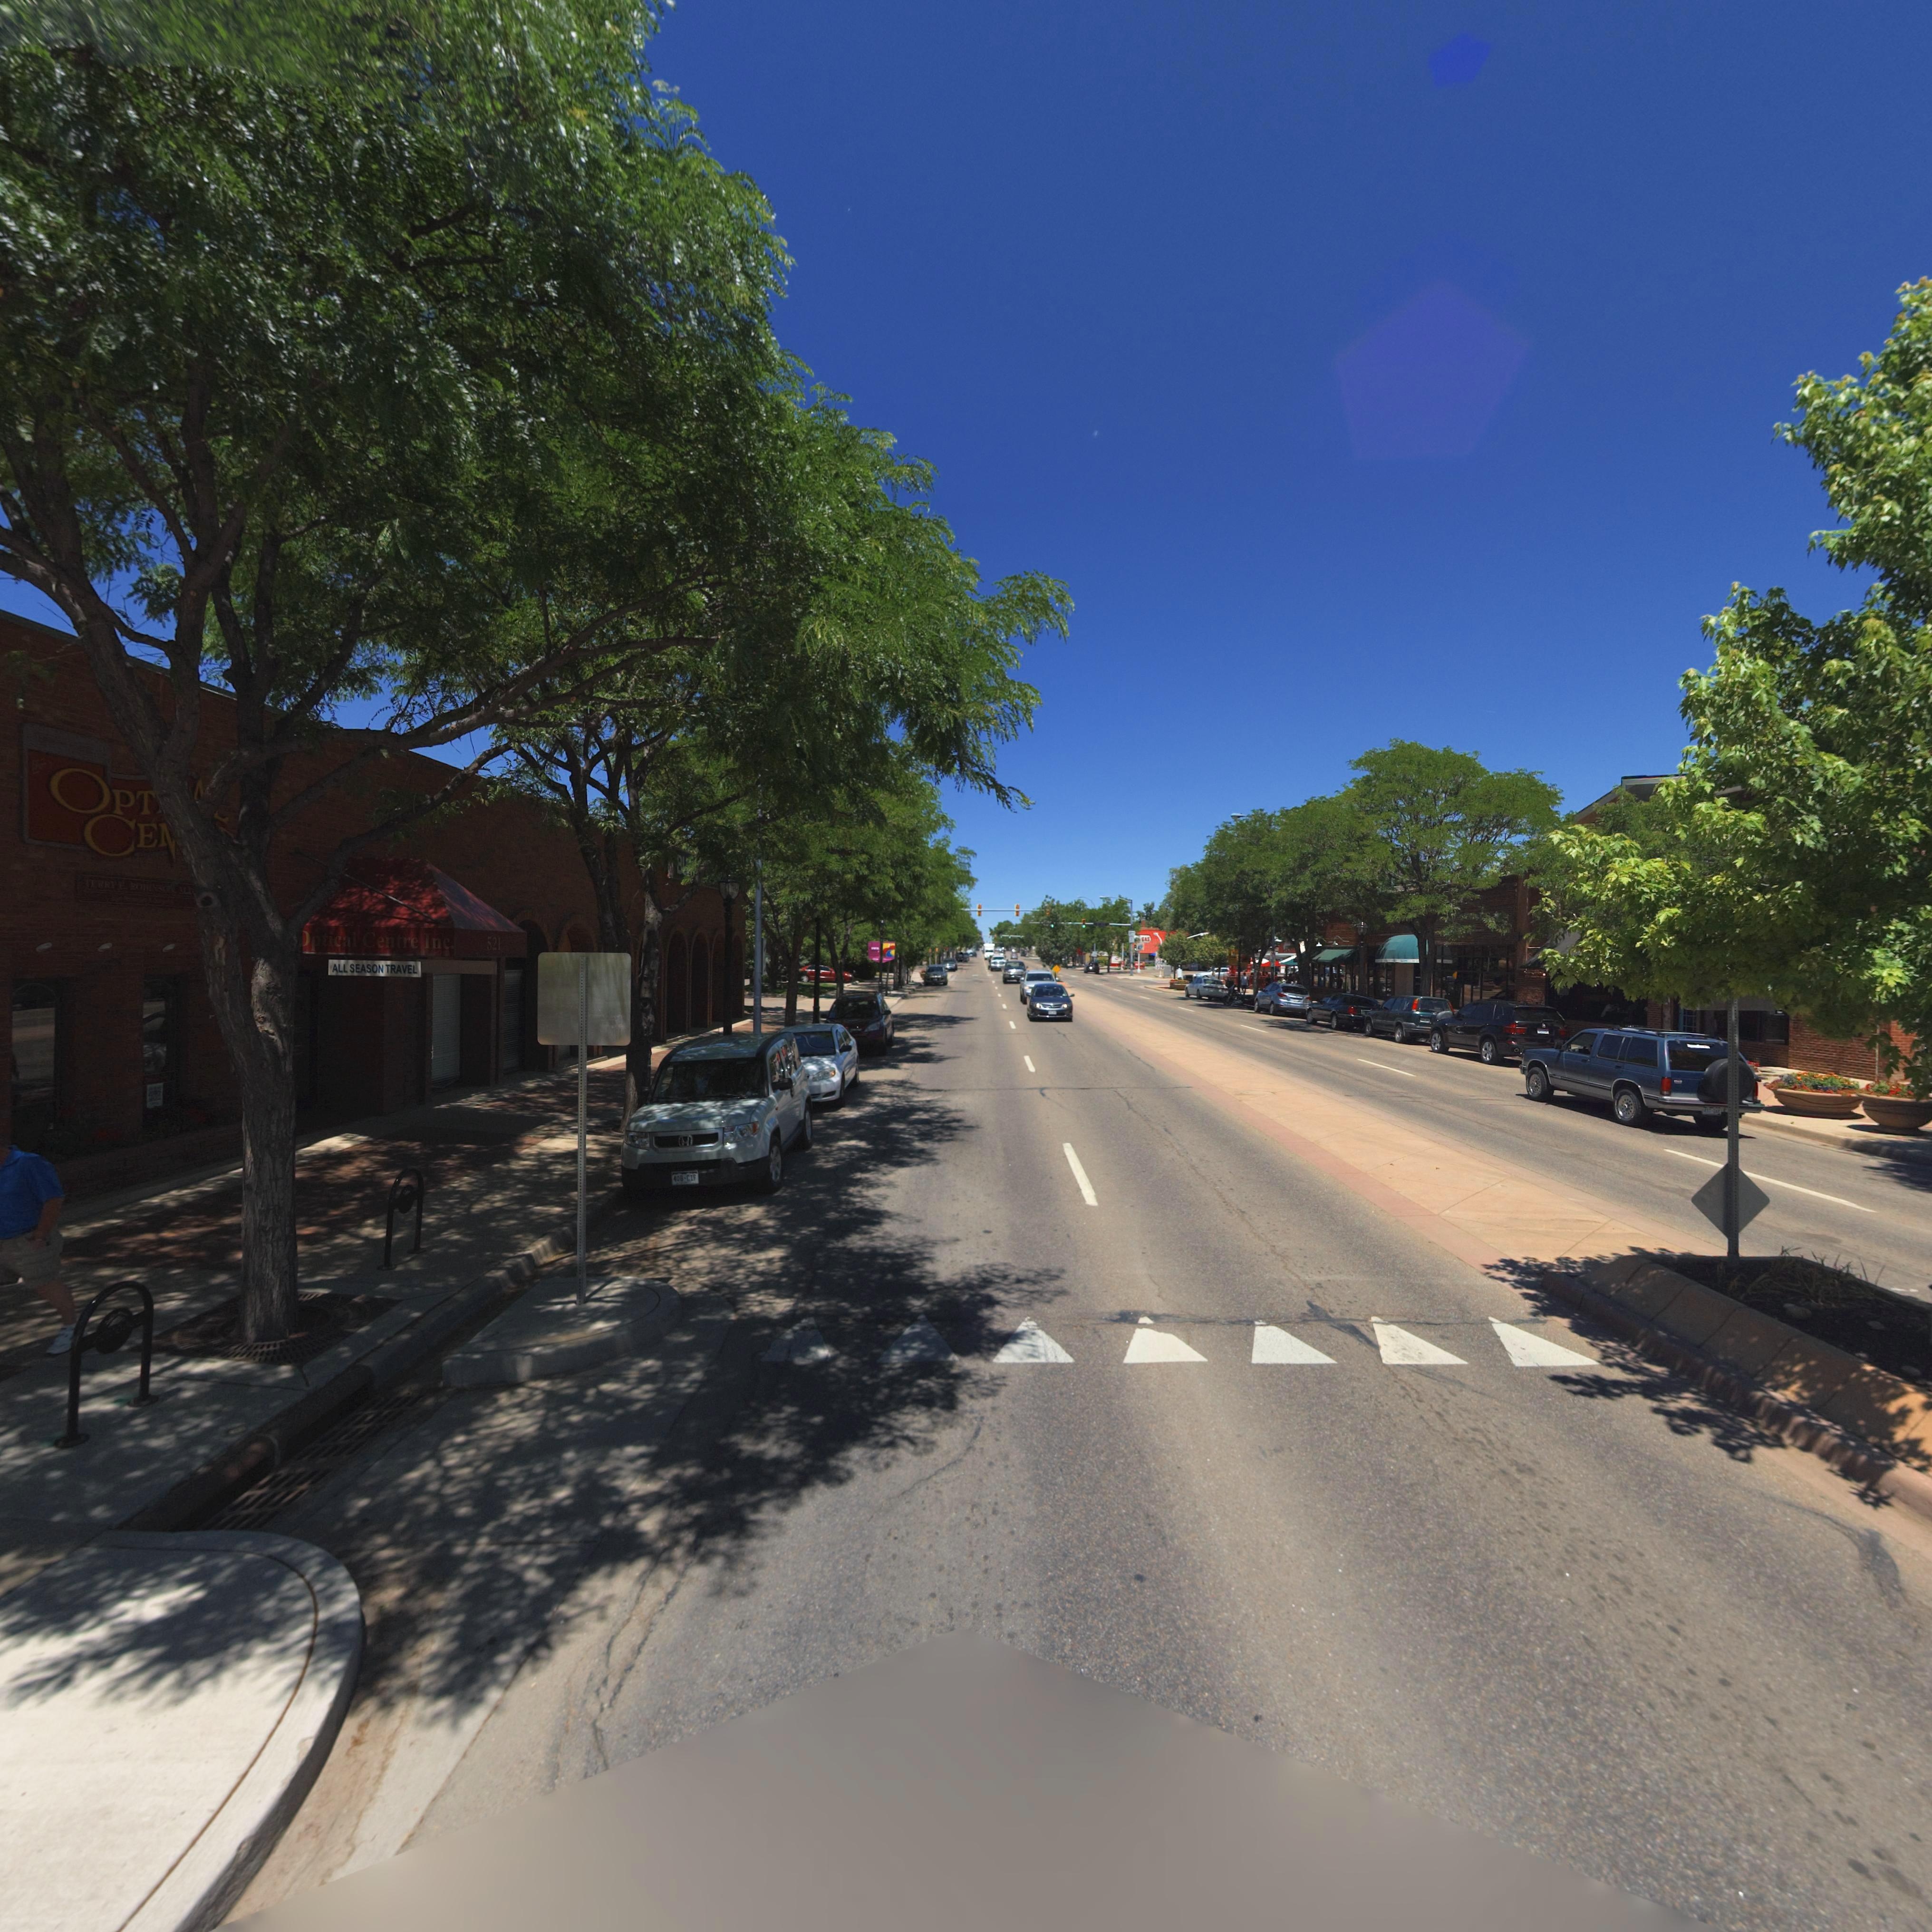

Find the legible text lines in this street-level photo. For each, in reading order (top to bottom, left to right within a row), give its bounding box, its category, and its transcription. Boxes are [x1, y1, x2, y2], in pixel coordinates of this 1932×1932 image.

[48, 767, 156, 817] BusinessName: OPT
[82, 812, 176, 863] BusinessName: CE*
[310, 930, 454, 952] BusinessName: ptical Centre Inc.
[486, 936, 501, 951] StreetNumber: 521
[331, 963, 418, 974] BusinessName: ALL SEASON TRAVEL